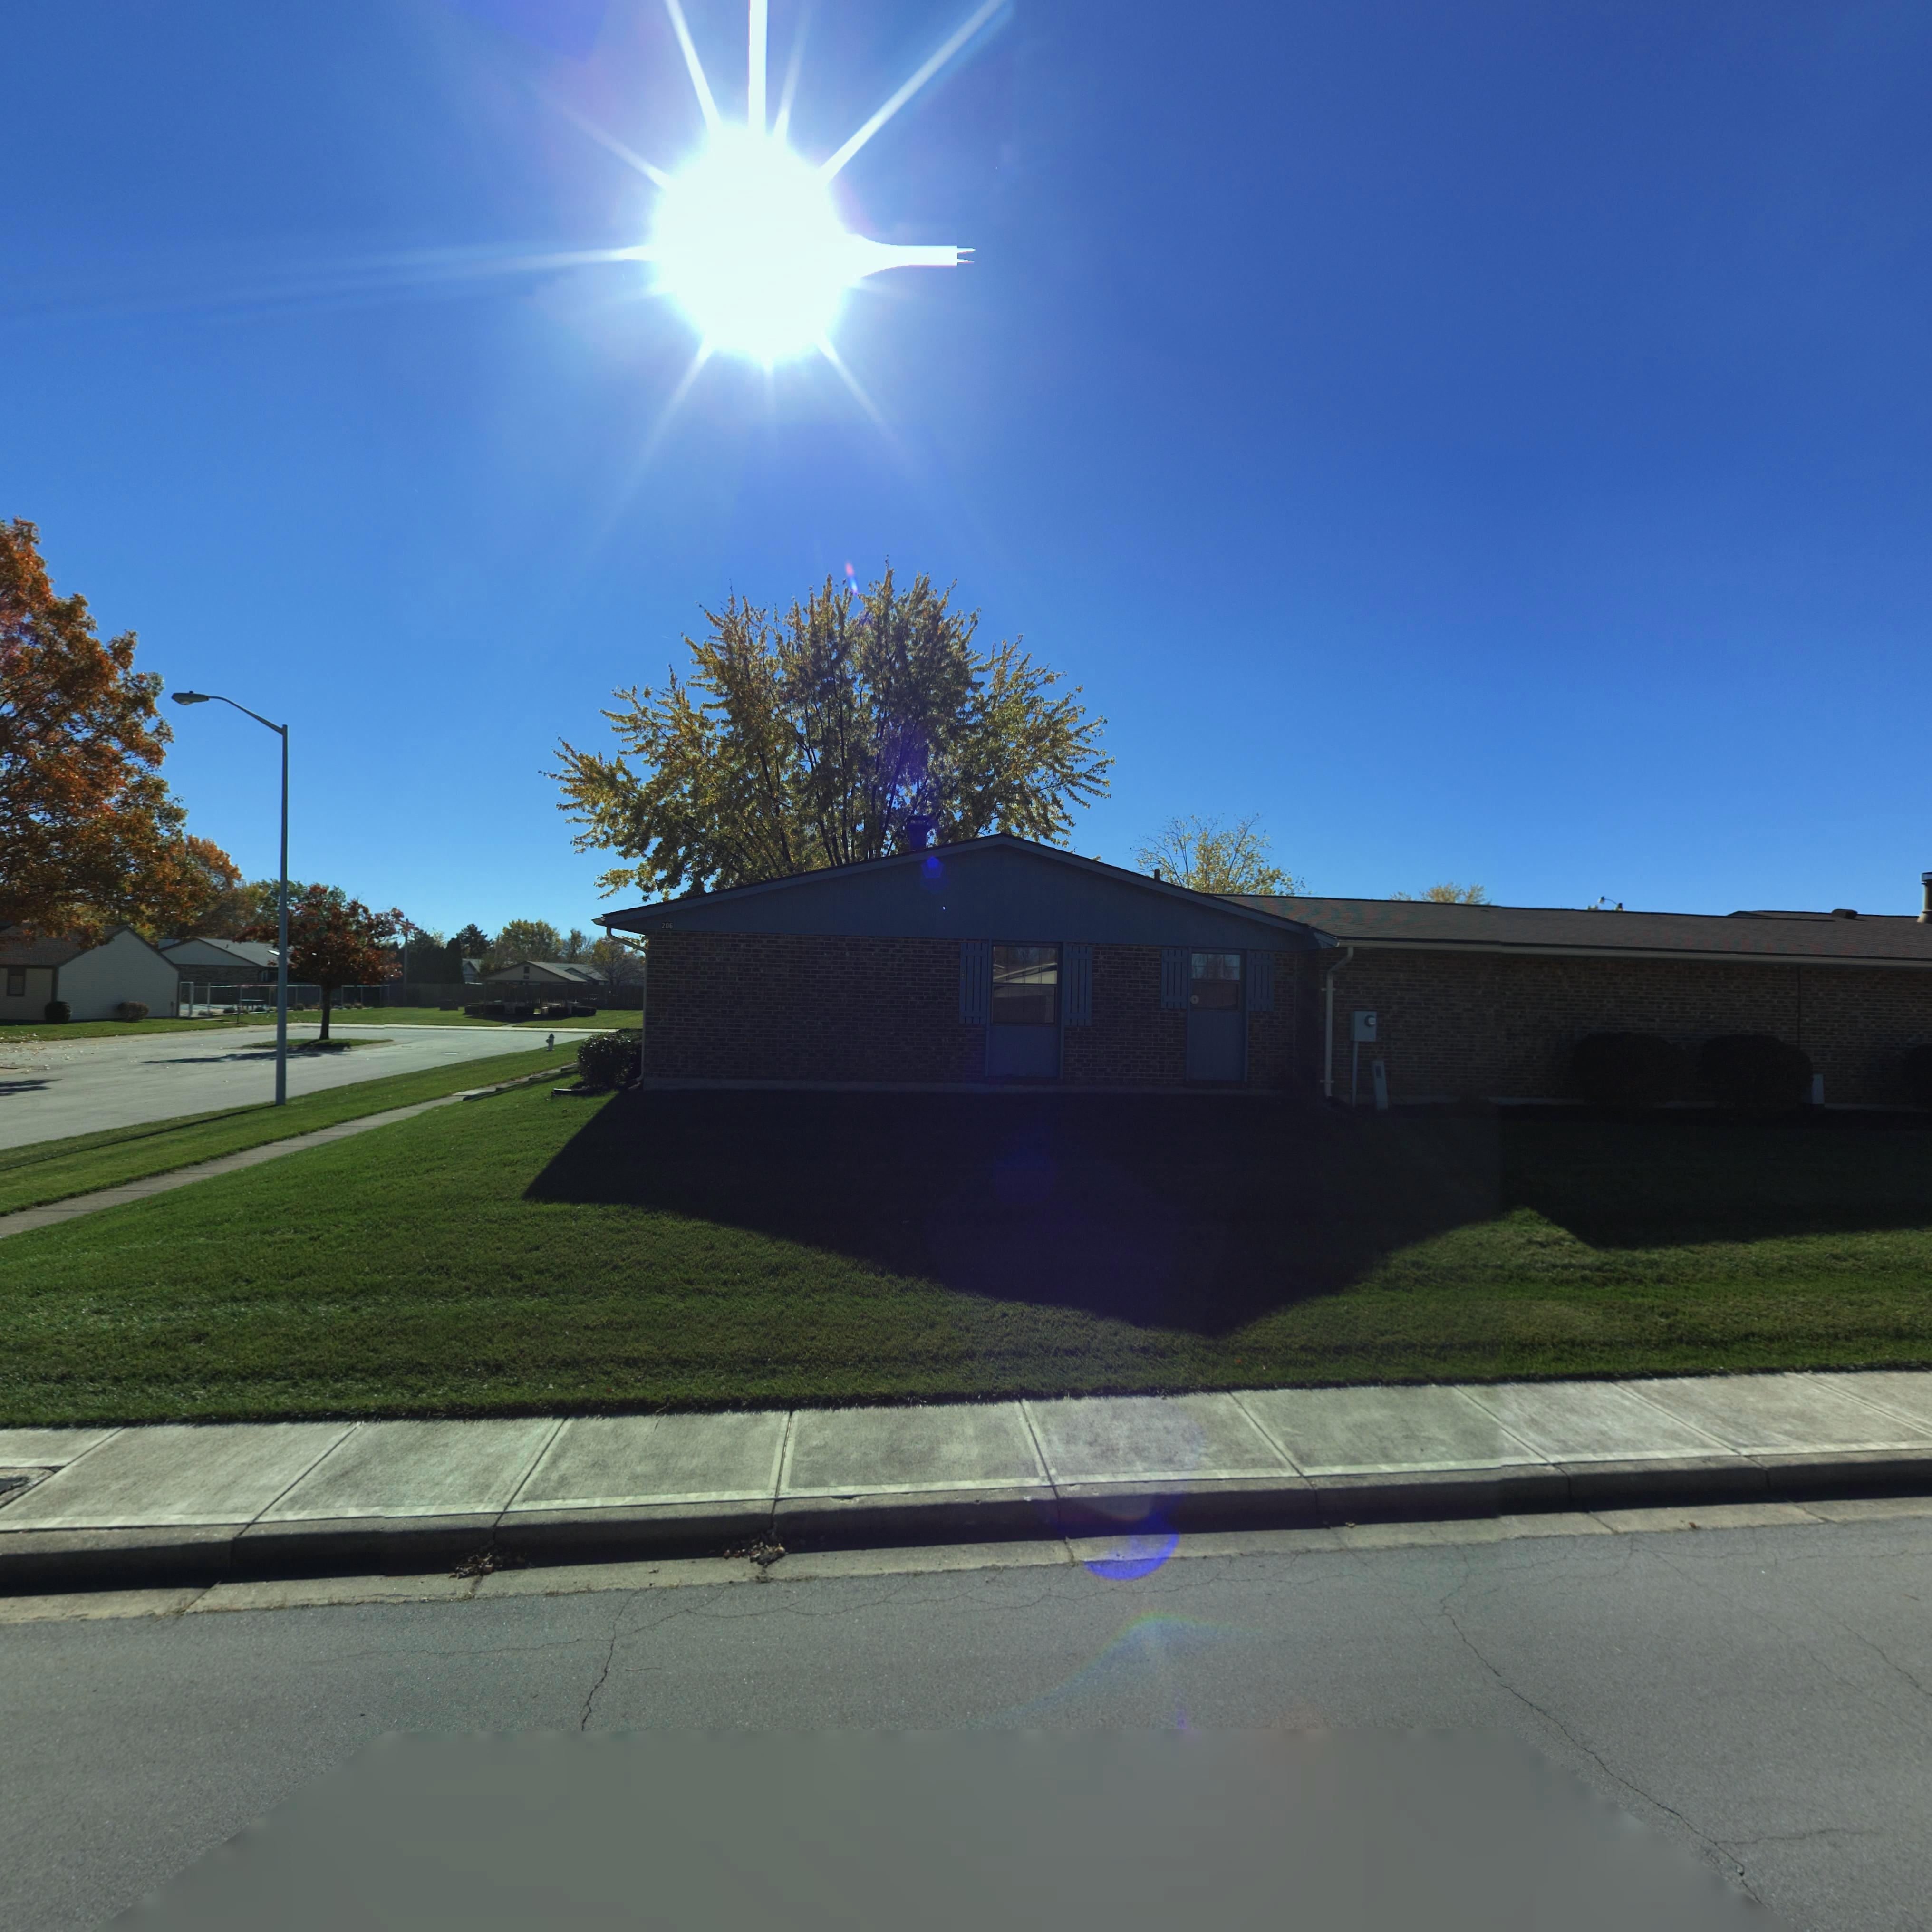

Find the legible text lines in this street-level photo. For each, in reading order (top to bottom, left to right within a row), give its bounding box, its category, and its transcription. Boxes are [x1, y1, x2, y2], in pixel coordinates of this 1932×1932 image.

[661, 922, 674, 929] StreetNumber: 206